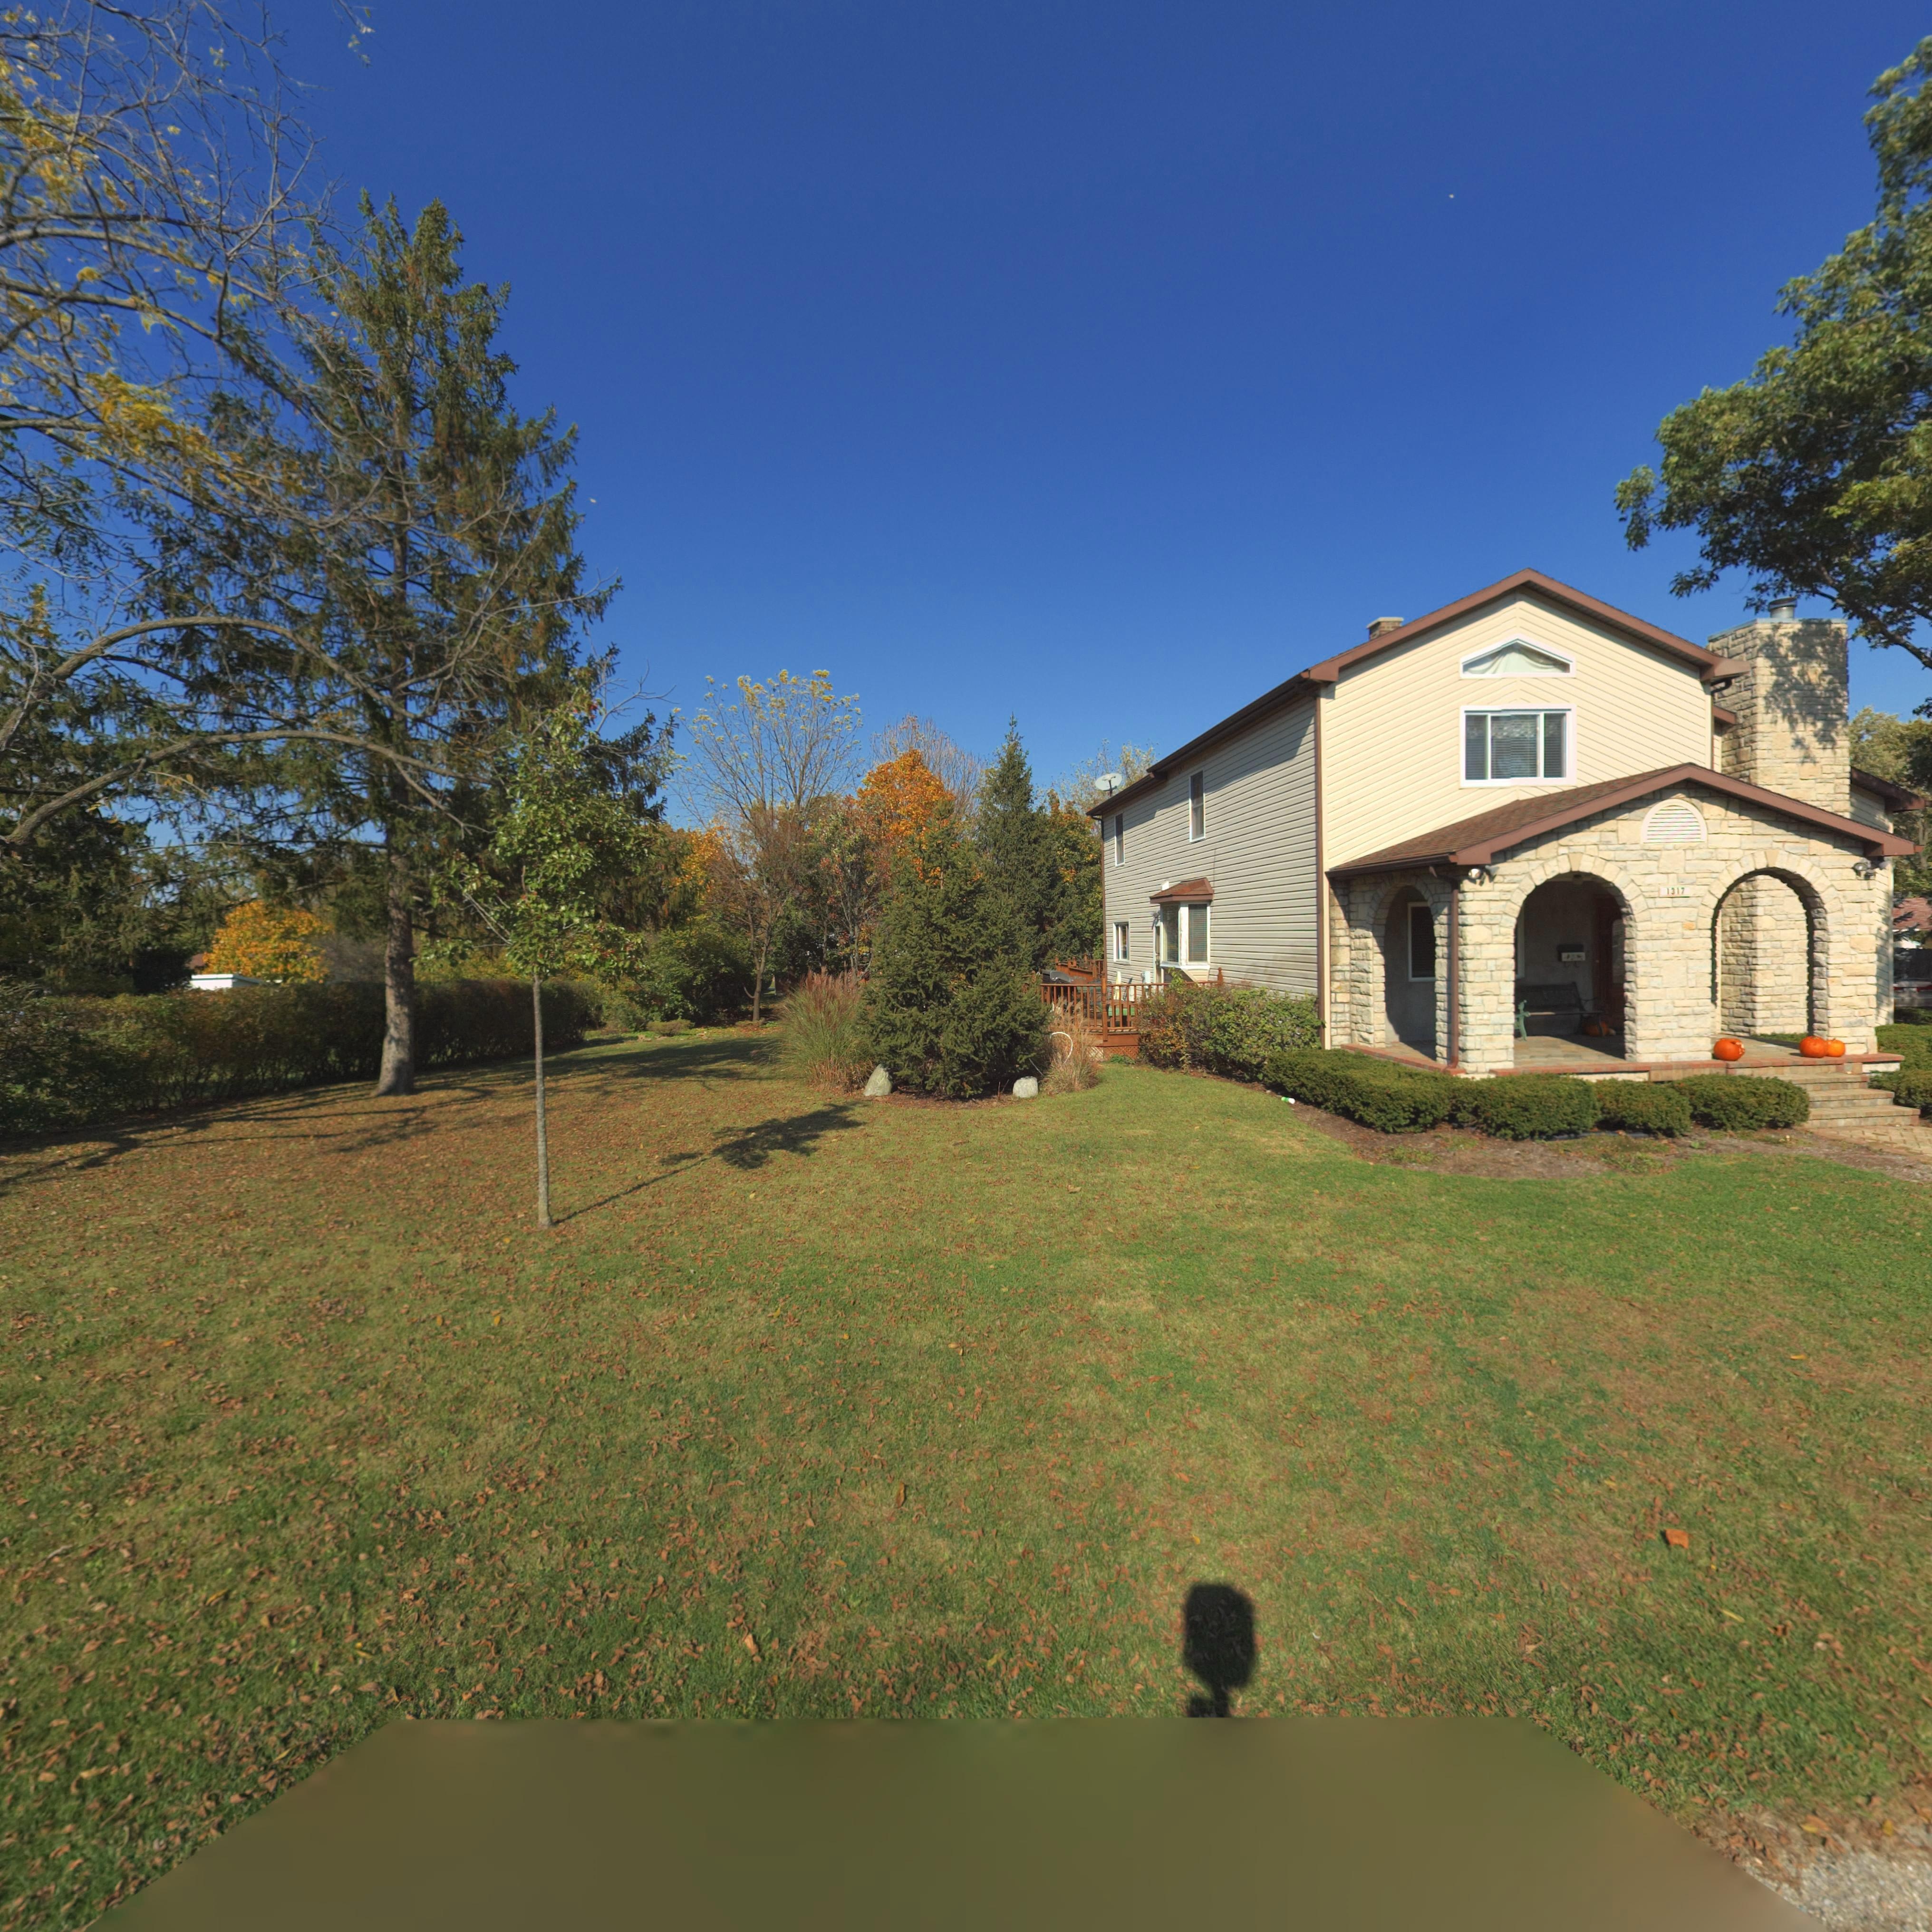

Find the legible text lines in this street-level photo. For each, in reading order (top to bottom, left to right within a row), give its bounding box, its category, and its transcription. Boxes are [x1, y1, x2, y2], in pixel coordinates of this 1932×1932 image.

[1666, 887, 1686, 895] StreetNumber: 1317